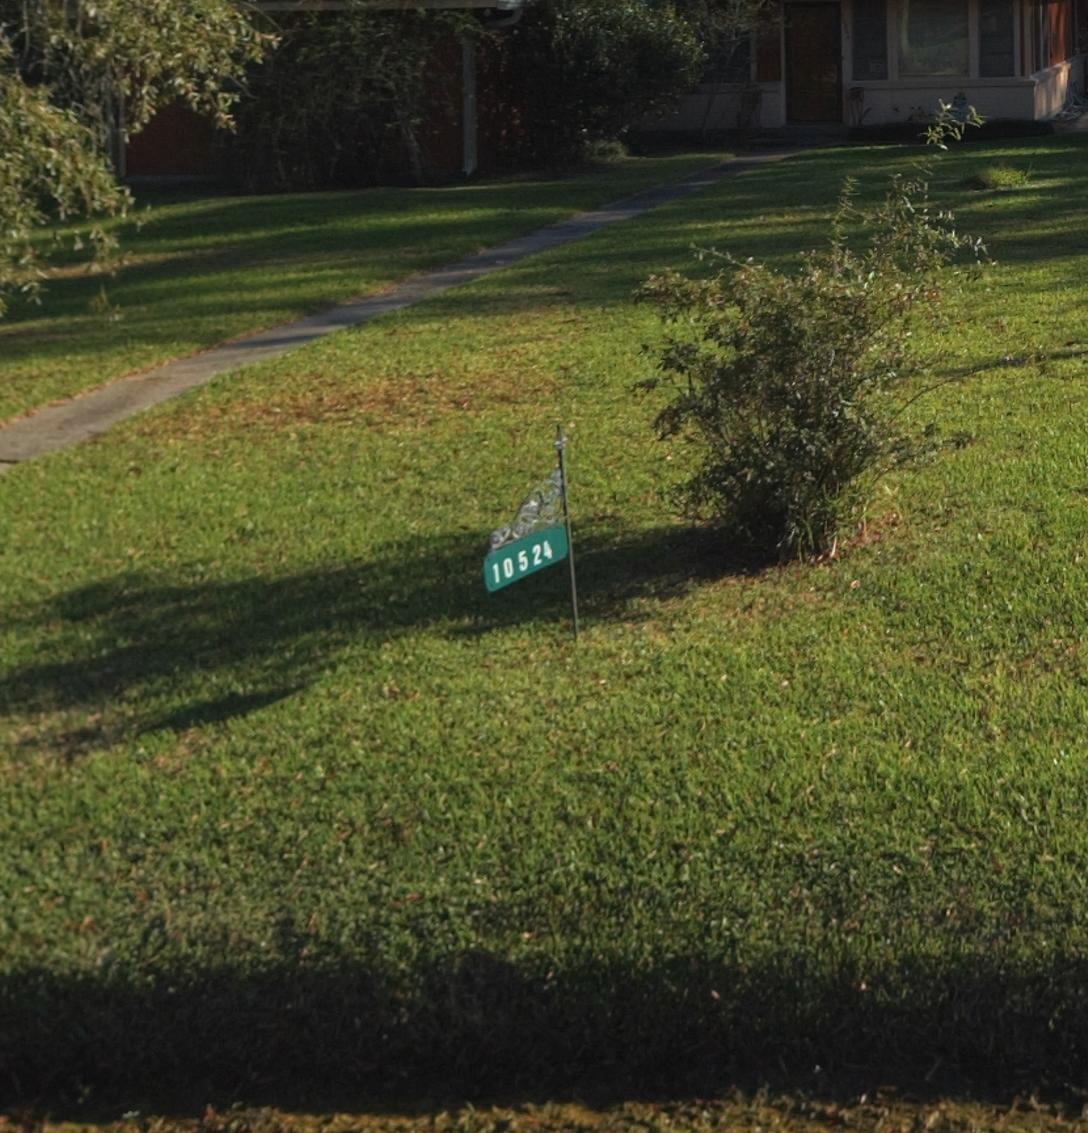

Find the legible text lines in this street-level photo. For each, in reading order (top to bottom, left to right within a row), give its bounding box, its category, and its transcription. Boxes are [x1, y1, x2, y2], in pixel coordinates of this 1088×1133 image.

[488, 535, 557, 586] StreetNumber: 10524